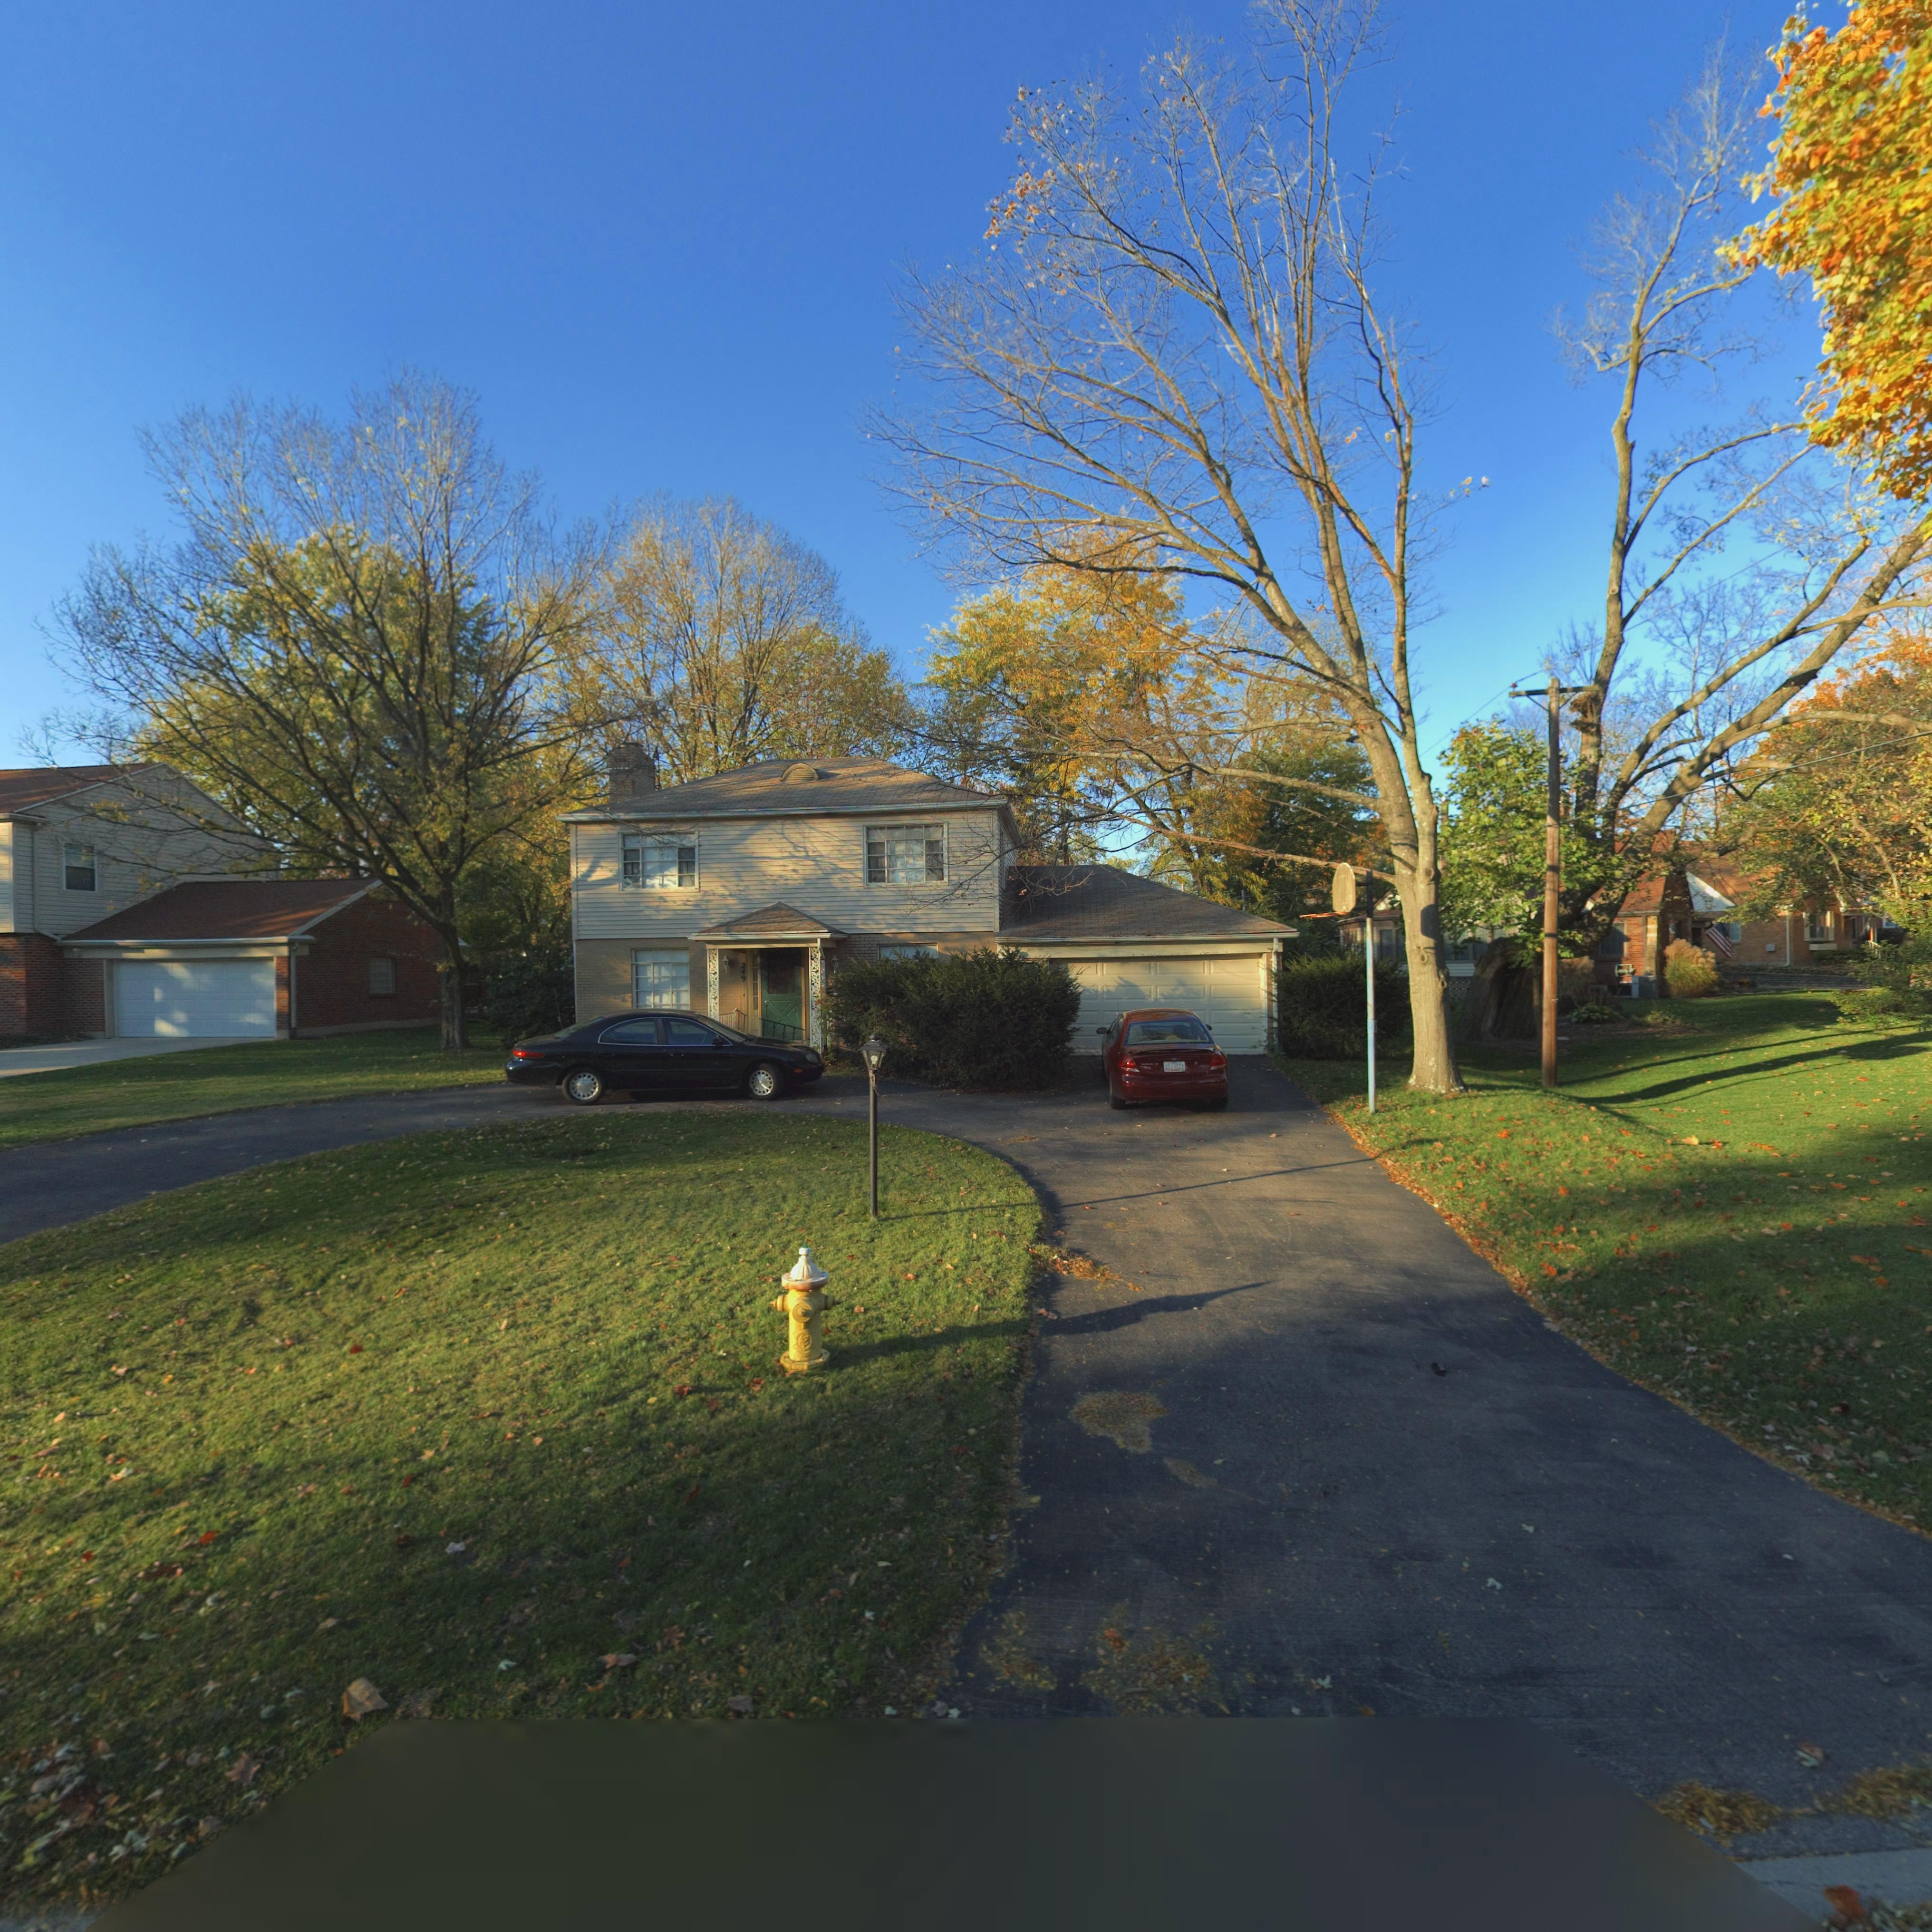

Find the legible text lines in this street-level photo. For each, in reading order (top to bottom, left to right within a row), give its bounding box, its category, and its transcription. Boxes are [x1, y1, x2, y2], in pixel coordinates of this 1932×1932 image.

[740, 962, 746, 983] StreetNumber: 249